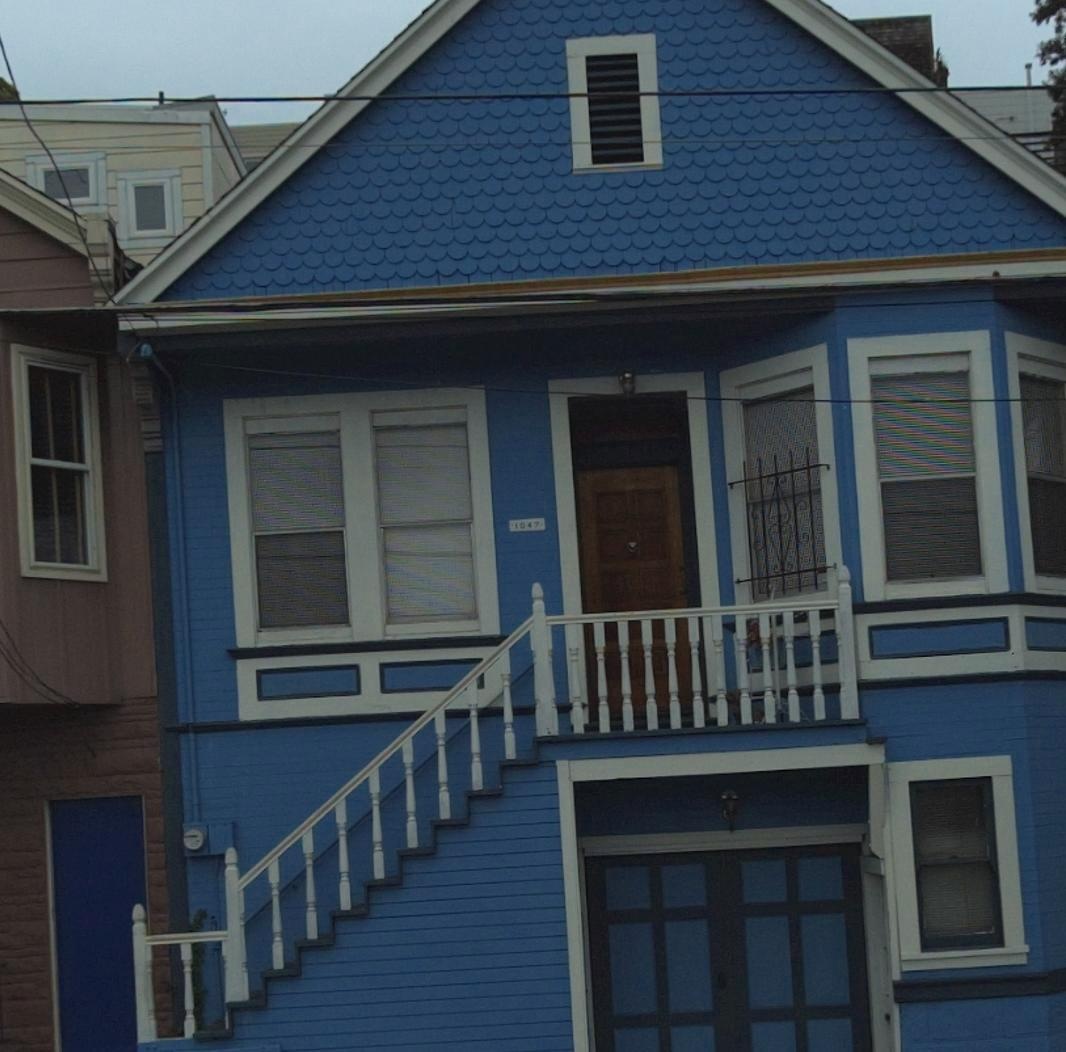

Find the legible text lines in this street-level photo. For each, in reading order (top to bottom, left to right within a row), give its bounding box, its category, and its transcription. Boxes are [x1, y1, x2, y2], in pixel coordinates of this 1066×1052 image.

[514, 519, 540, 530] StreetNumber: 1047